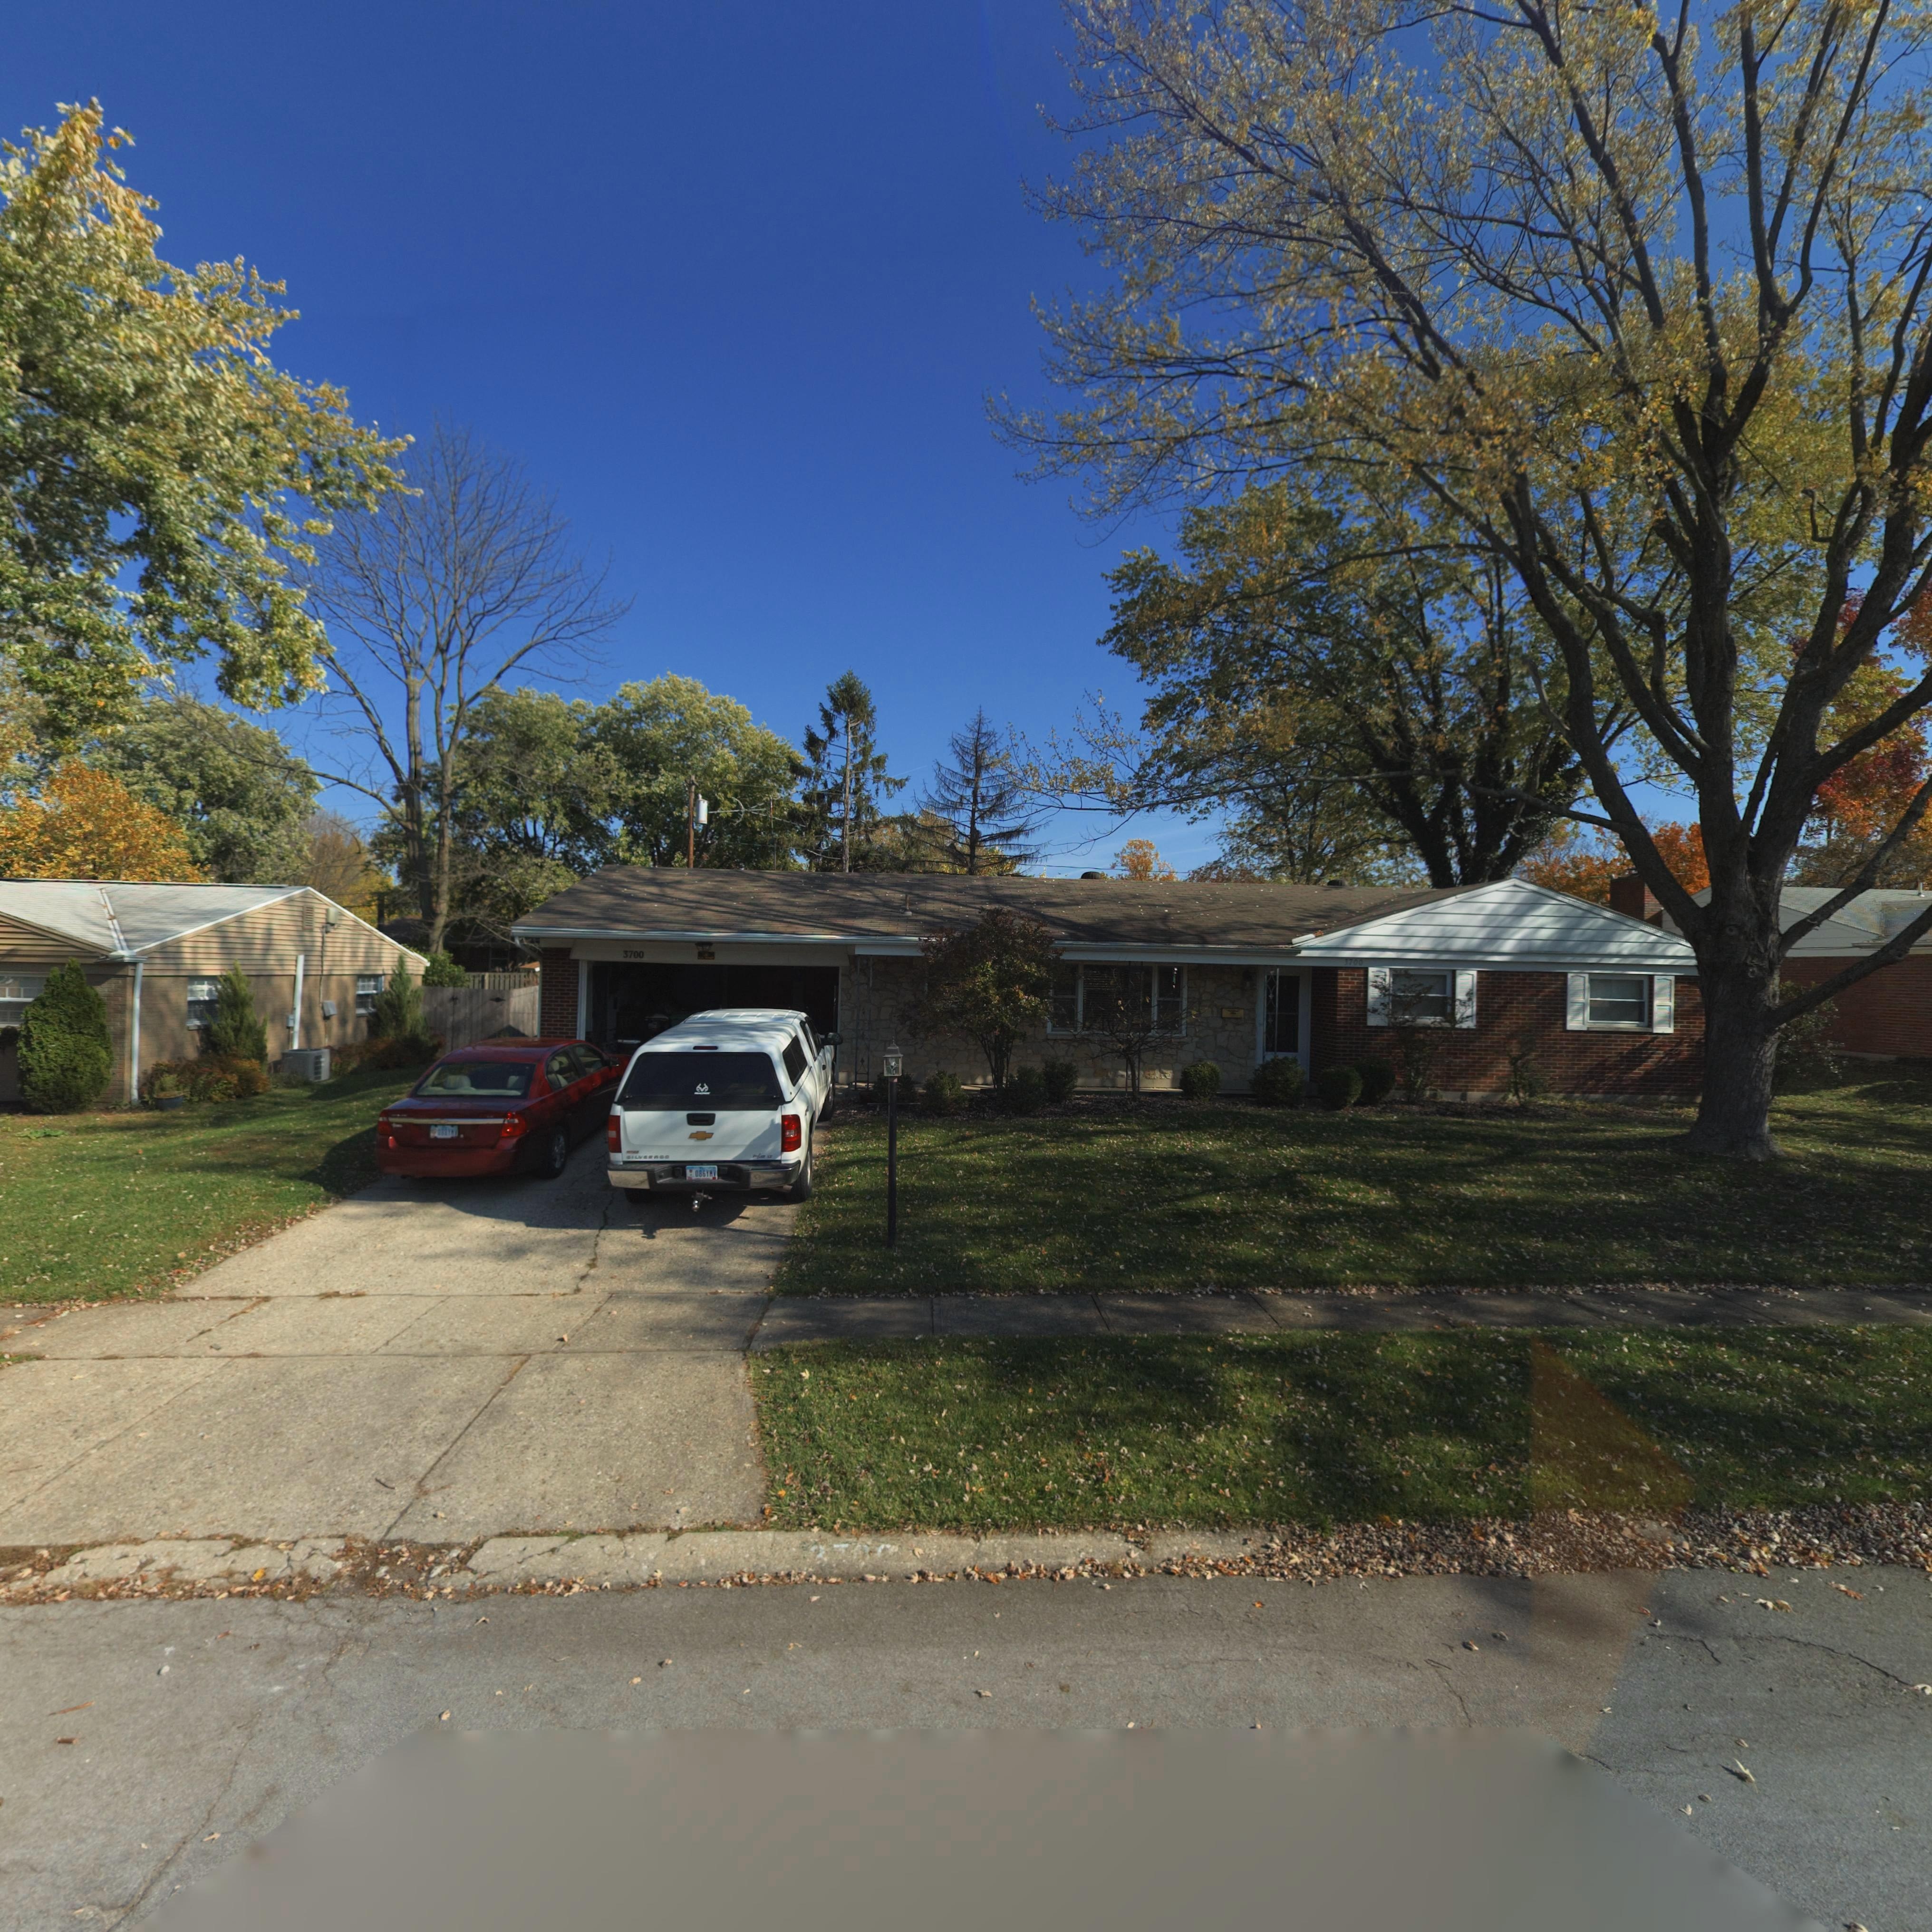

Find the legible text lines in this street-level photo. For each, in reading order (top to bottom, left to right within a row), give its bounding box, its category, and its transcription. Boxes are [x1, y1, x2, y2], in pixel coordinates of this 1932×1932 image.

[621, 948, 646, 960] StreetNumber: 3700
[624, 1154, 671, 1160] None: SILVERADO
[694, 1169, 717, 1178] None: 086YNY